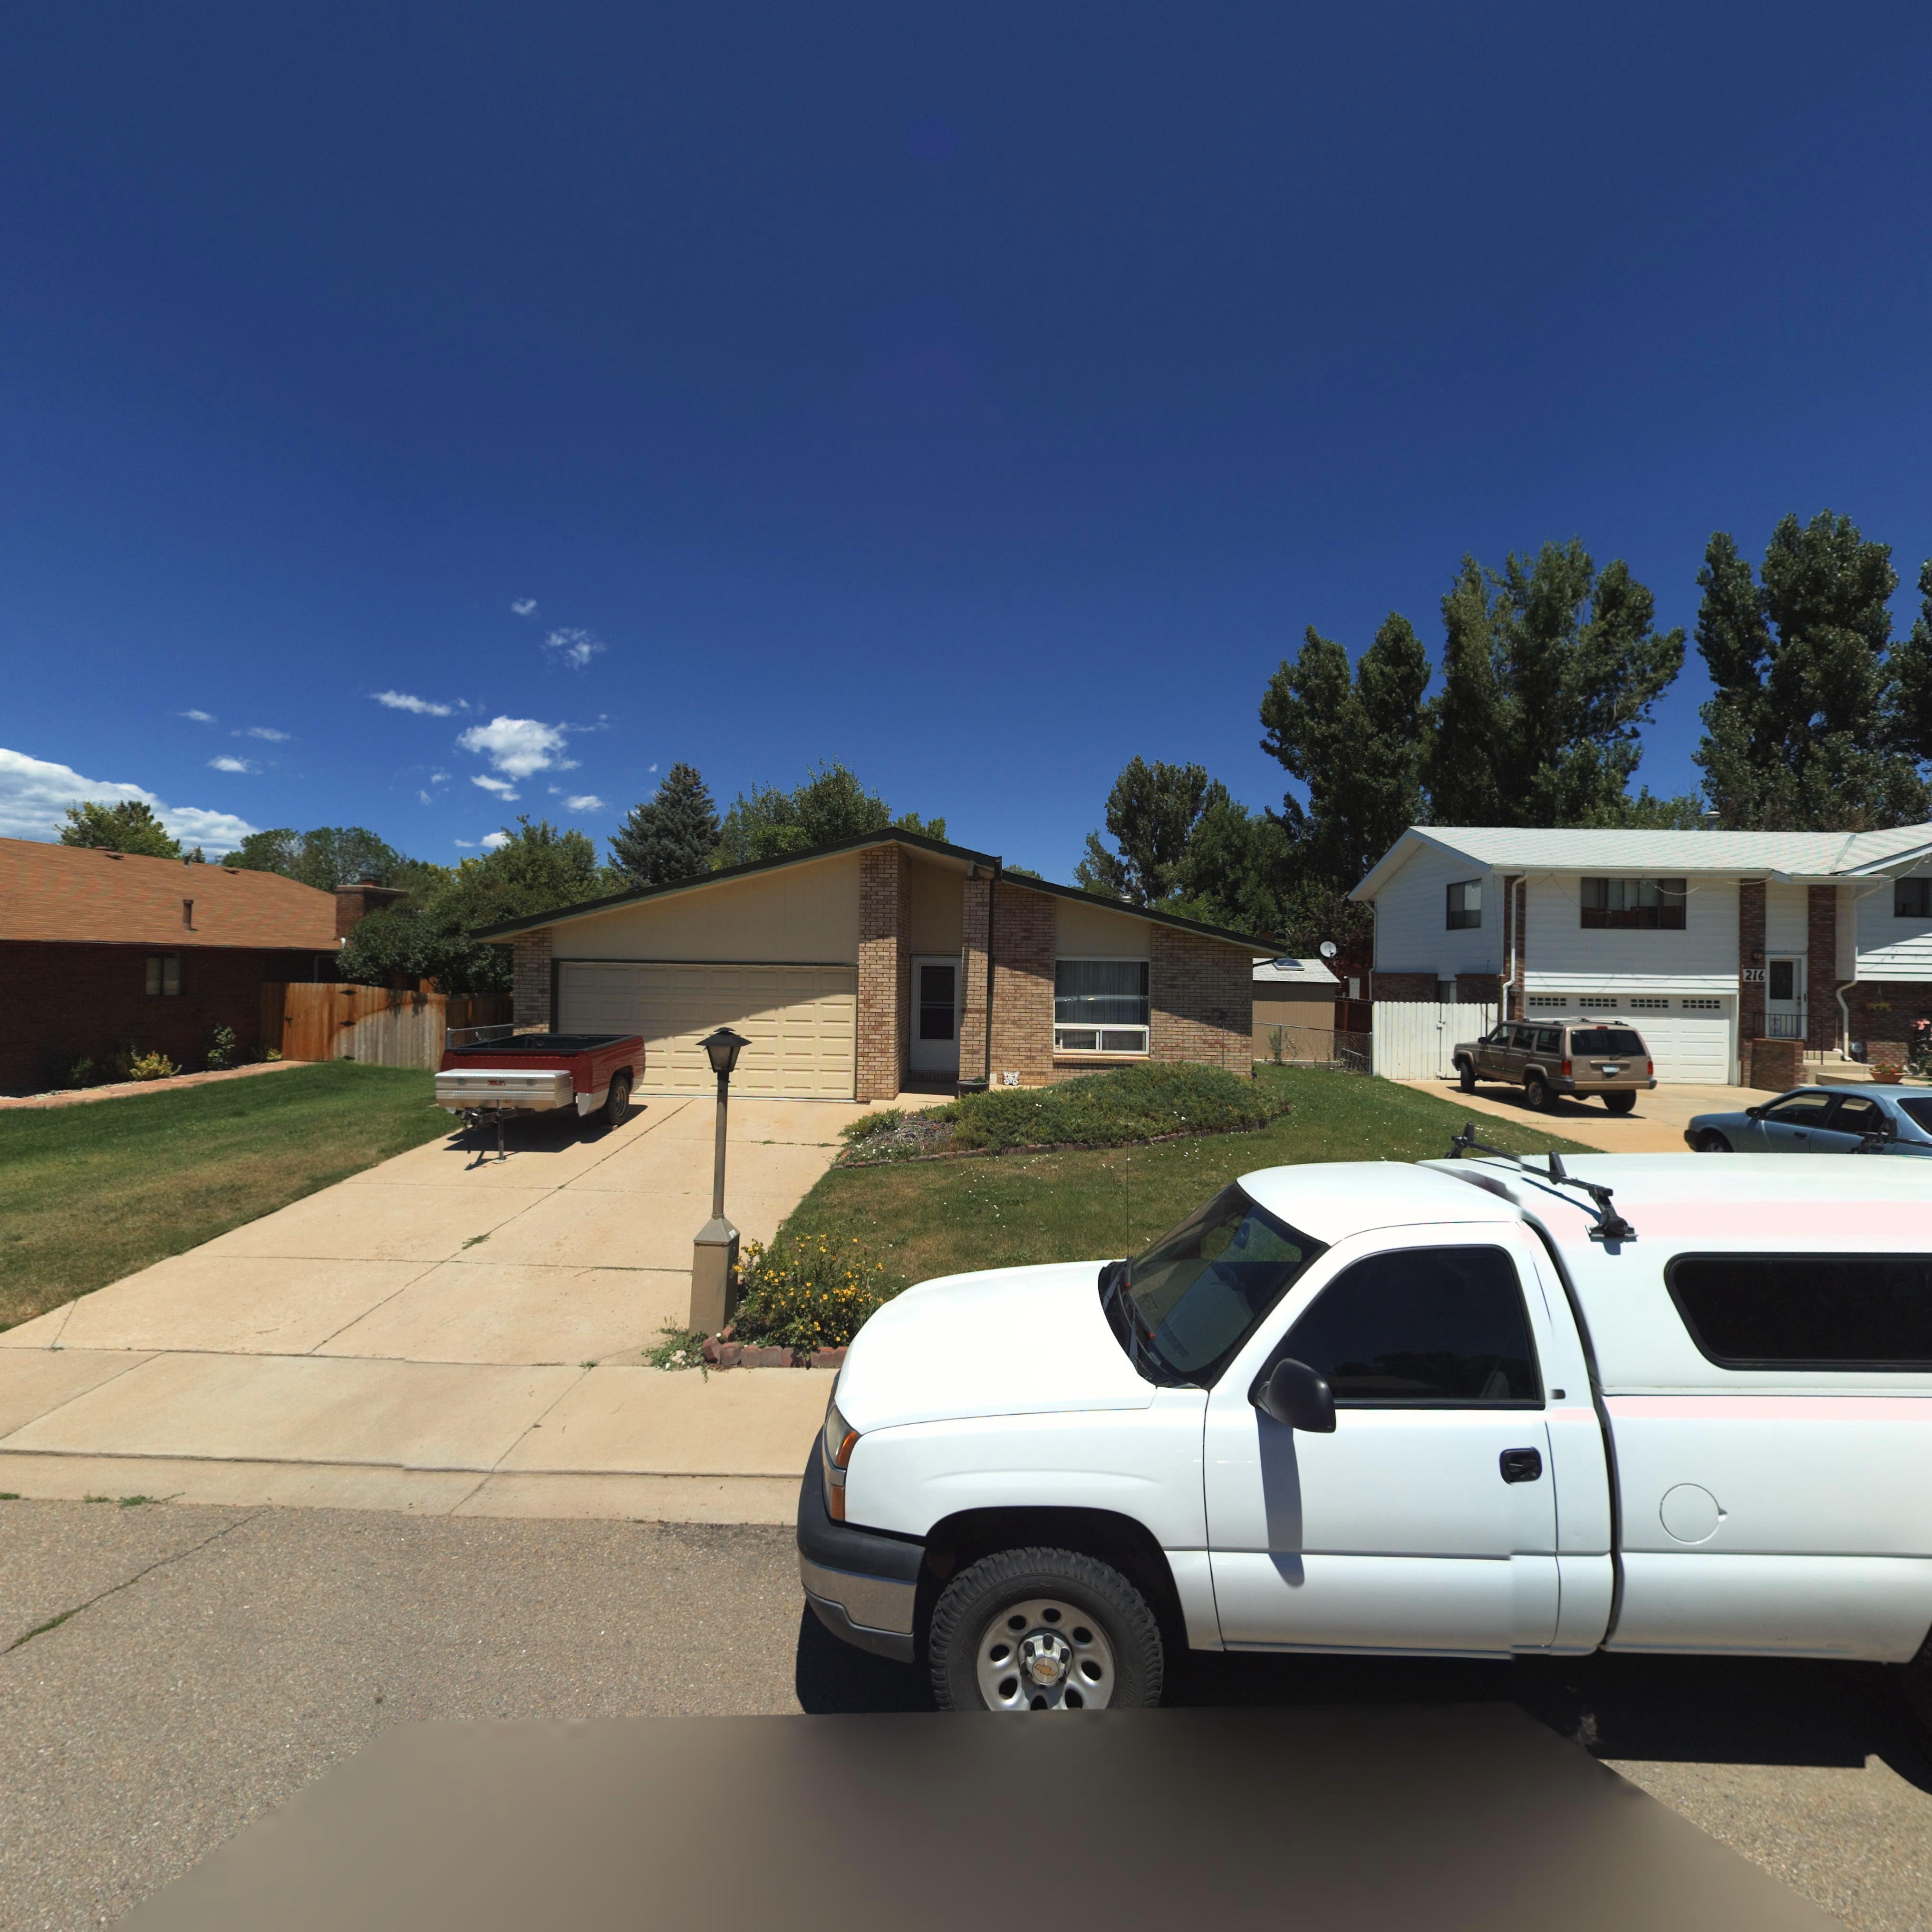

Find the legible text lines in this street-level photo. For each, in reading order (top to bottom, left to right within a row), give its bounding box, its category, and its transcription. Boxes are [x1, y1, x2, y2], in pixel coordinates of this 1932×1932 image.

[1745, 969, 1765, 981] StreetNumber: 216